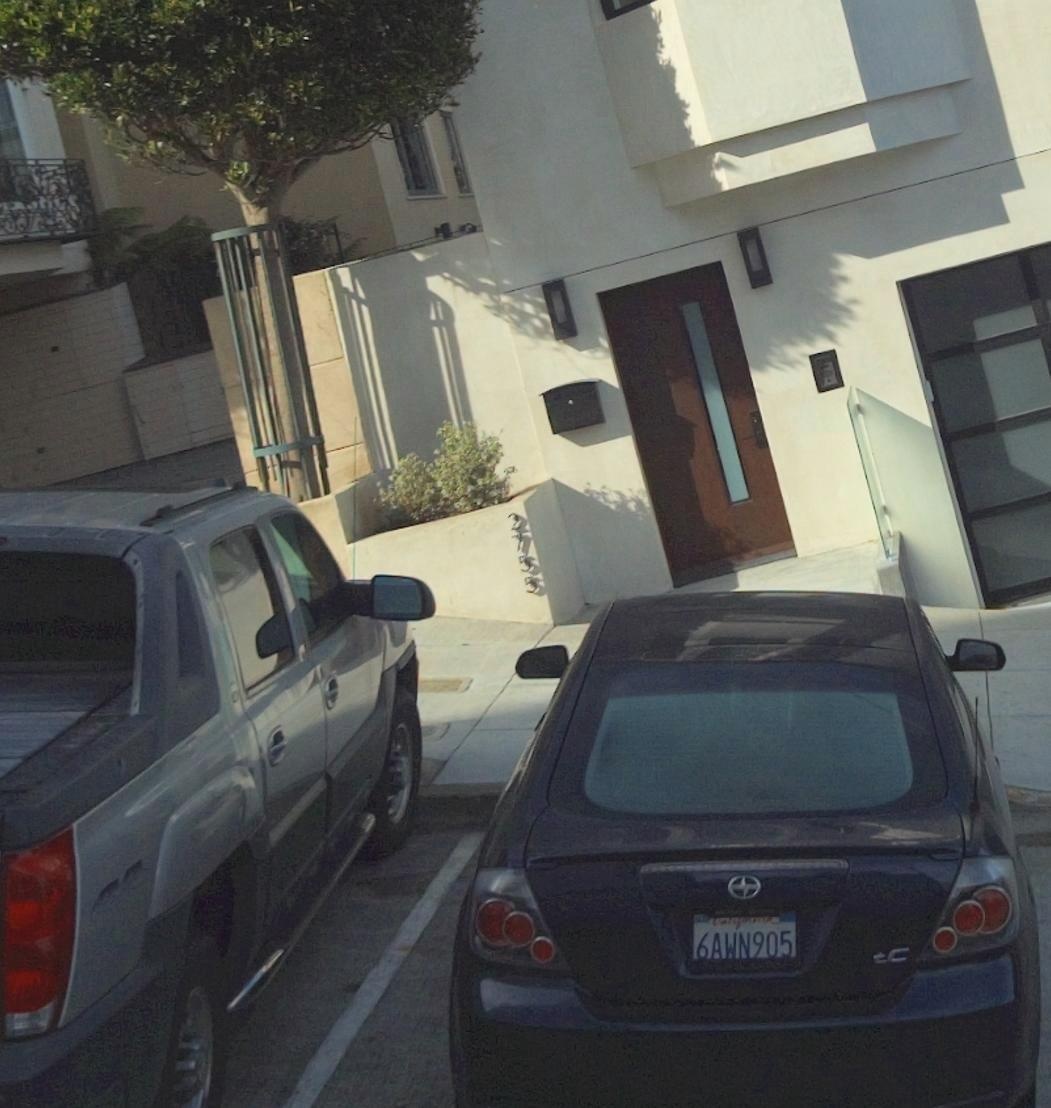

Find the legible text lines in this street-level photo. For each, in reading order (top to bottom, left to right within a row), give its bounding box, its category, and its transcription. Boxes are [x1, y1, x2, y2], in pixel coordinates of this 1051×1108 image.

[505, 509, 540, 596] StreetNumber: 2755
[693, 927, 795, 963] None: 6AWN905
[885, 944, 913, 965] None: C